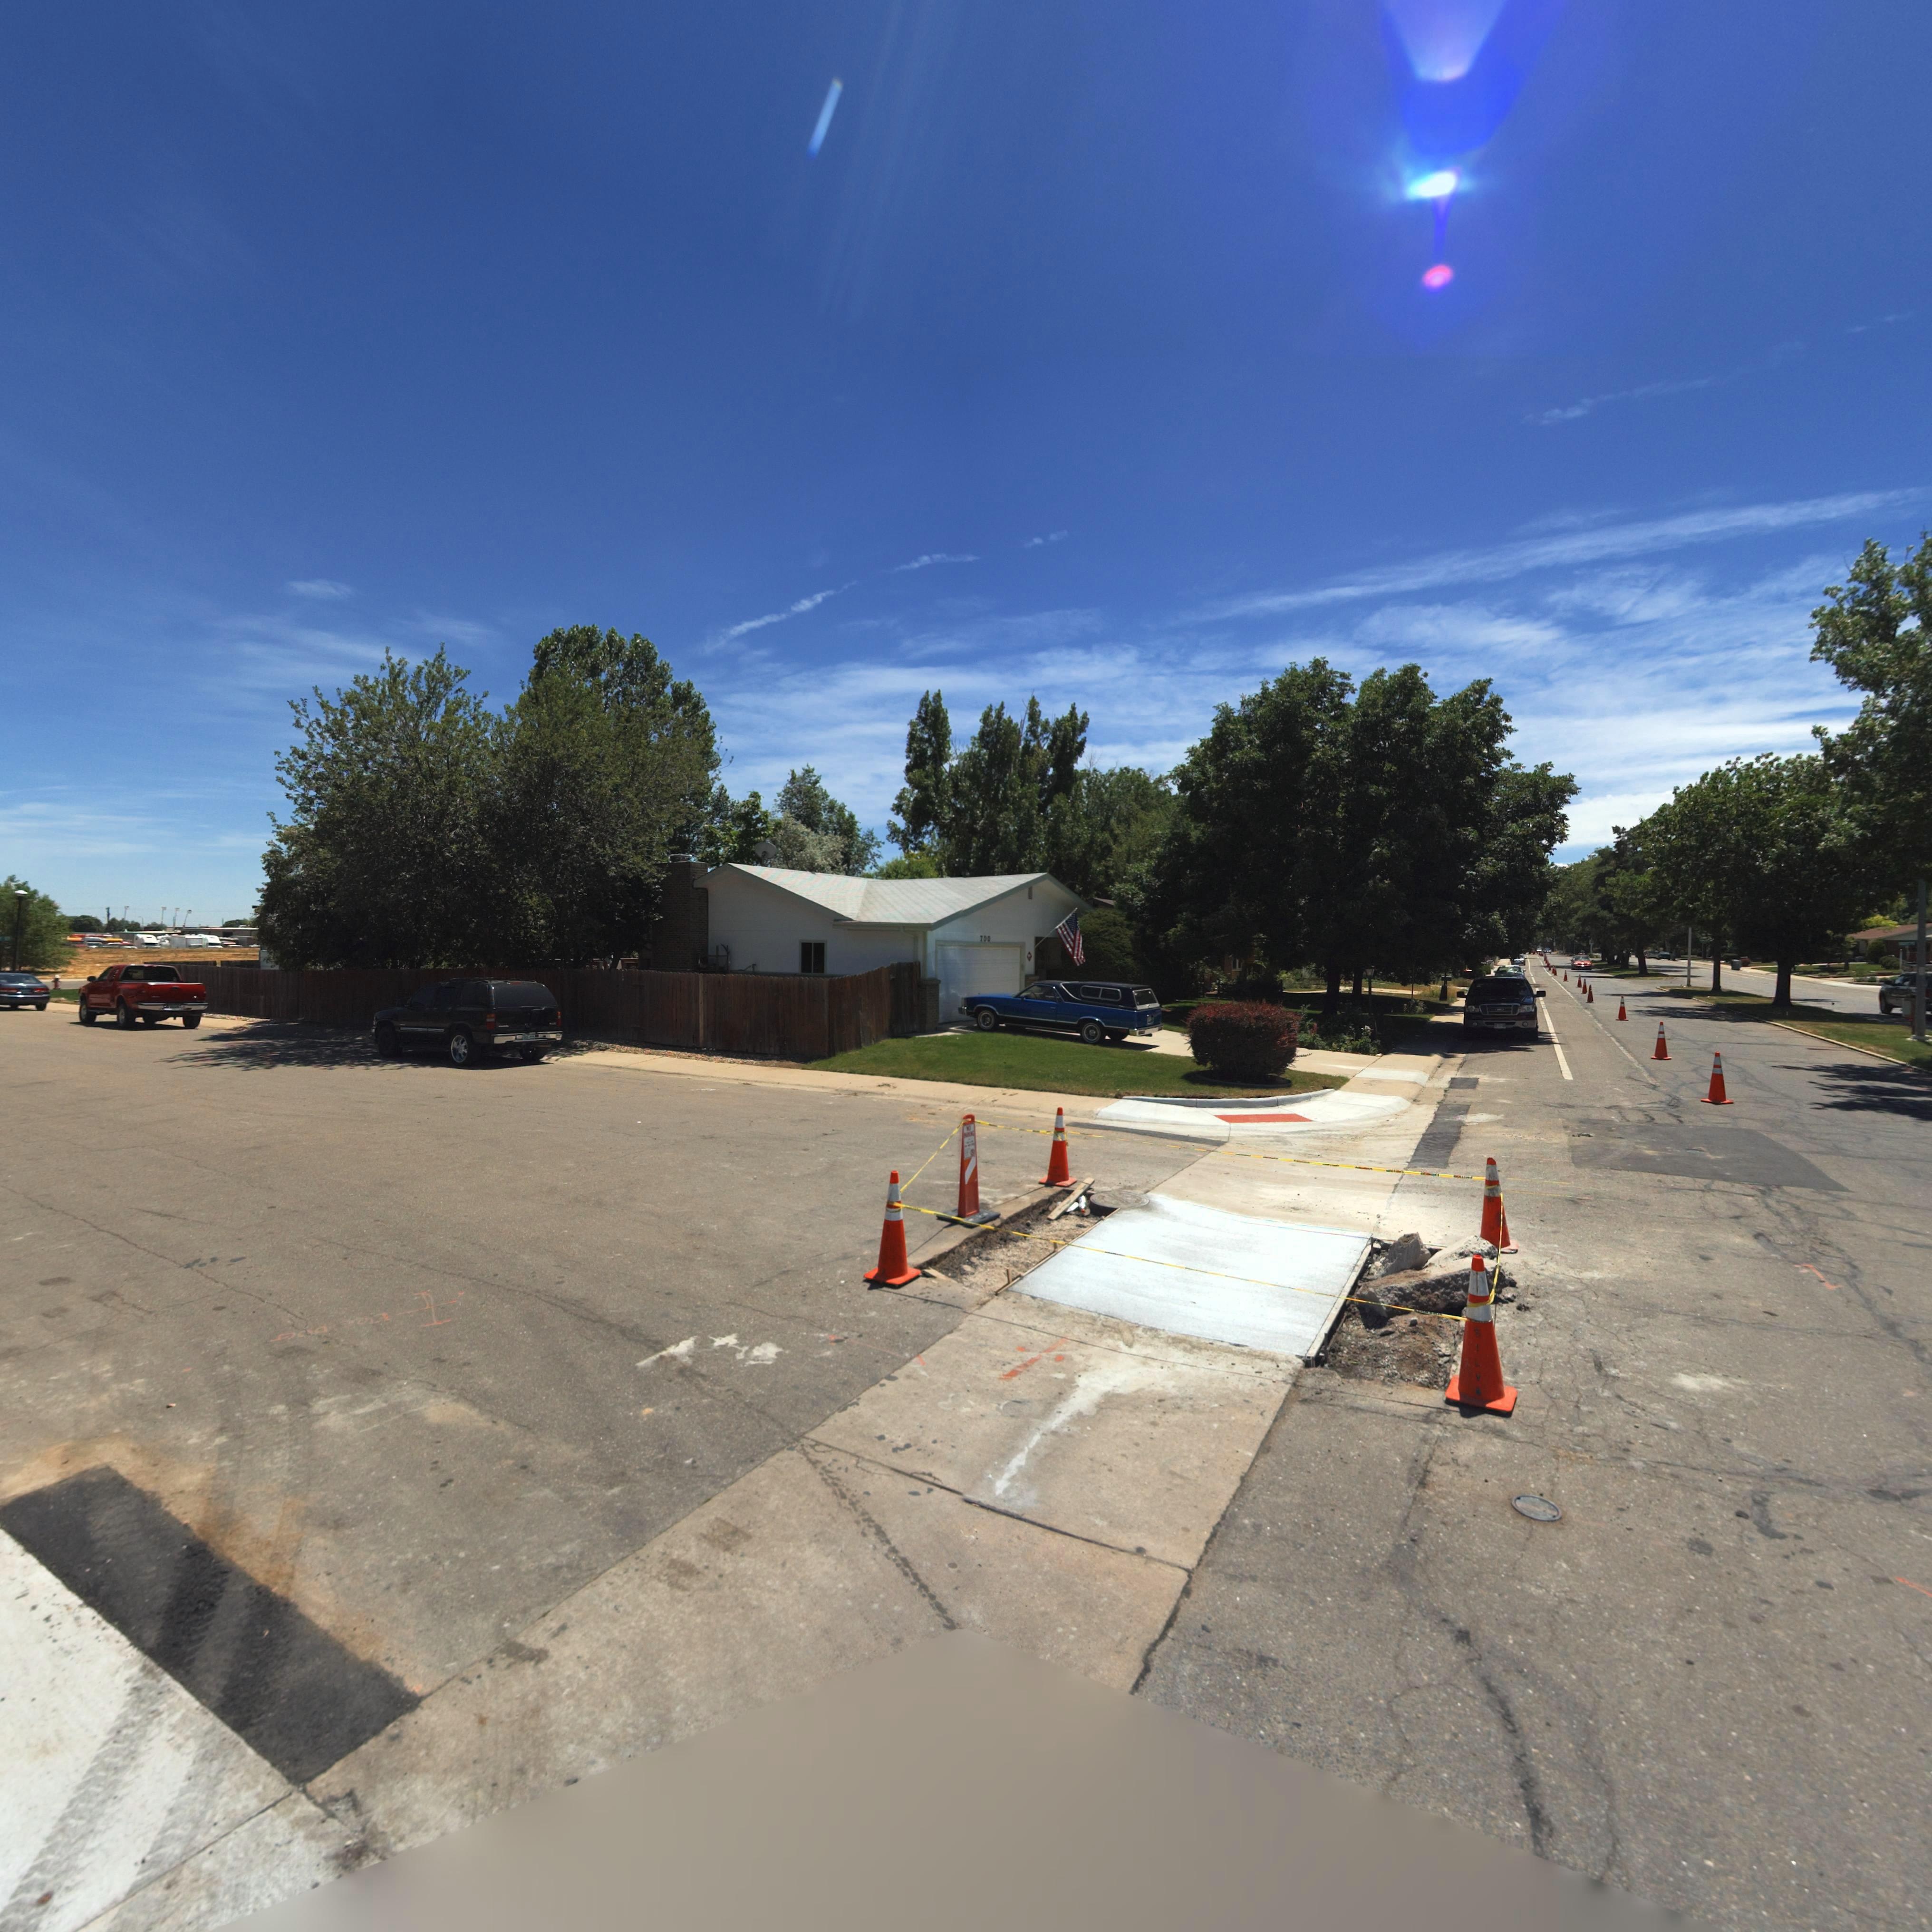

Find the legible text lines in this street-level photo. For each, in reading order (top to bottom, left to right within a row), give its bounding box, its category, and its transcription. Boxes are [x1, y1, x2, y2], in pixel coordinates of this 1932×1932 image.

[979, 935, 991, 942] StreetNumber: 700